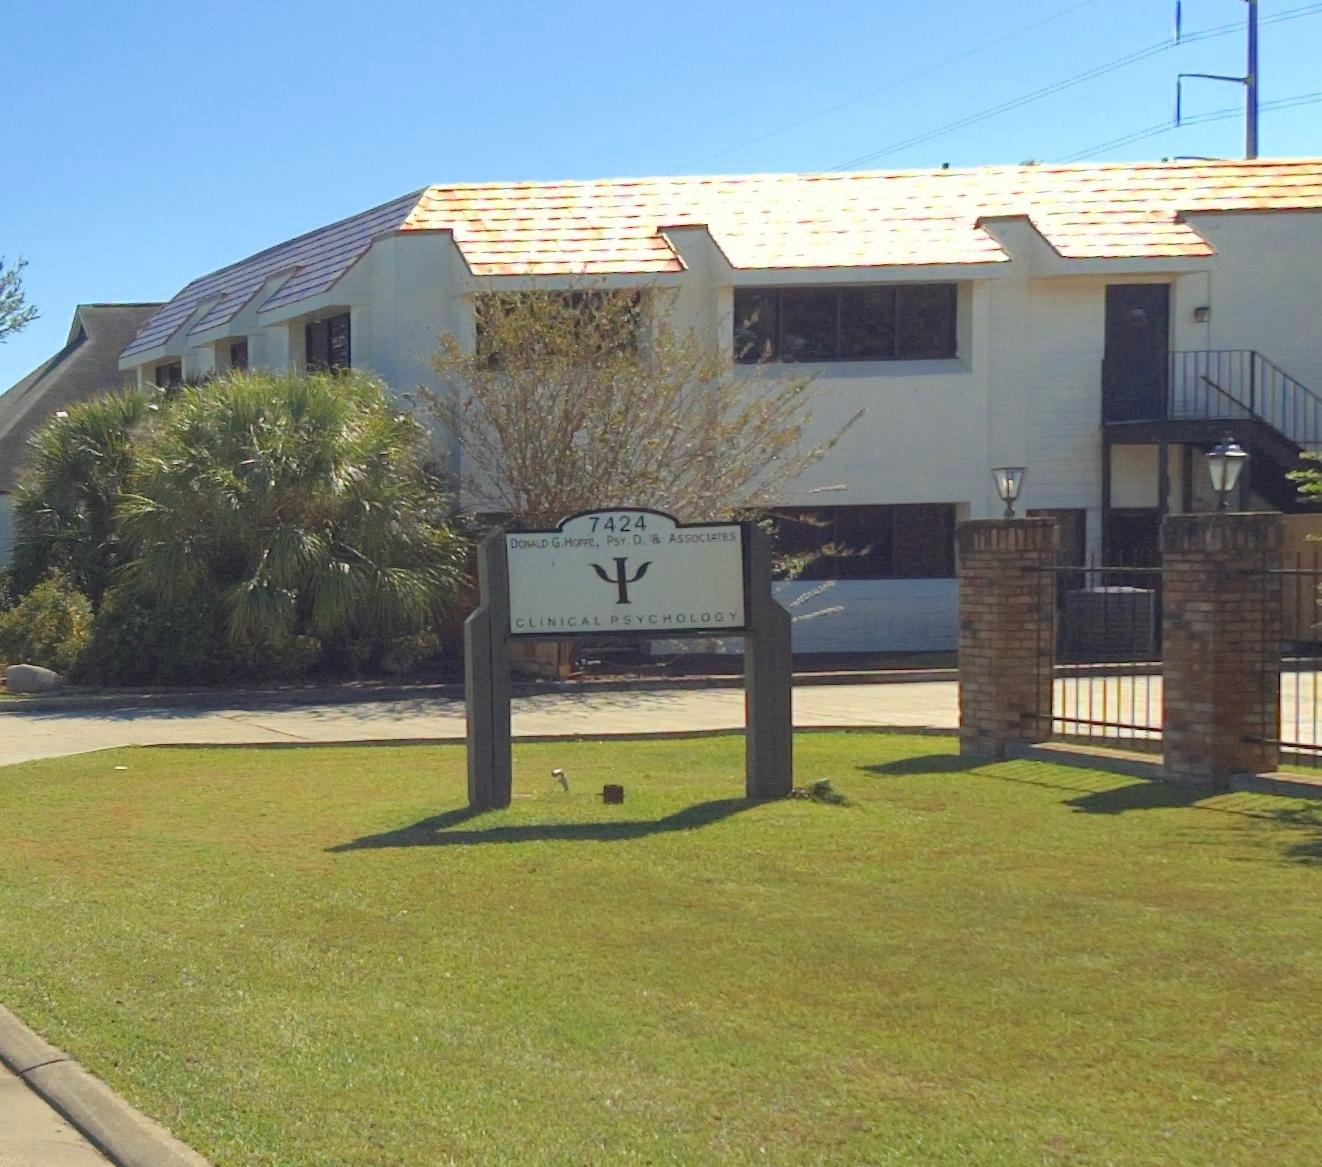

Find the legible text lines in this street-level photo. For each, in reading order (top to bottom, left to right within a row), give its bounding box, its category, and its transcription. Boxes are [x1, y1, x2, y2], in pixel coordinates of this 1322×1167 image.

[588, 514, 650, 533] StreetNumber: 7424
[509, 530, 738, 551] BusinessName: DONALD G. HOPPE, PSY. D. & ASSOCIATES
[514, 609, 738, 629] None: CLINICAL PSYCHOLOGY